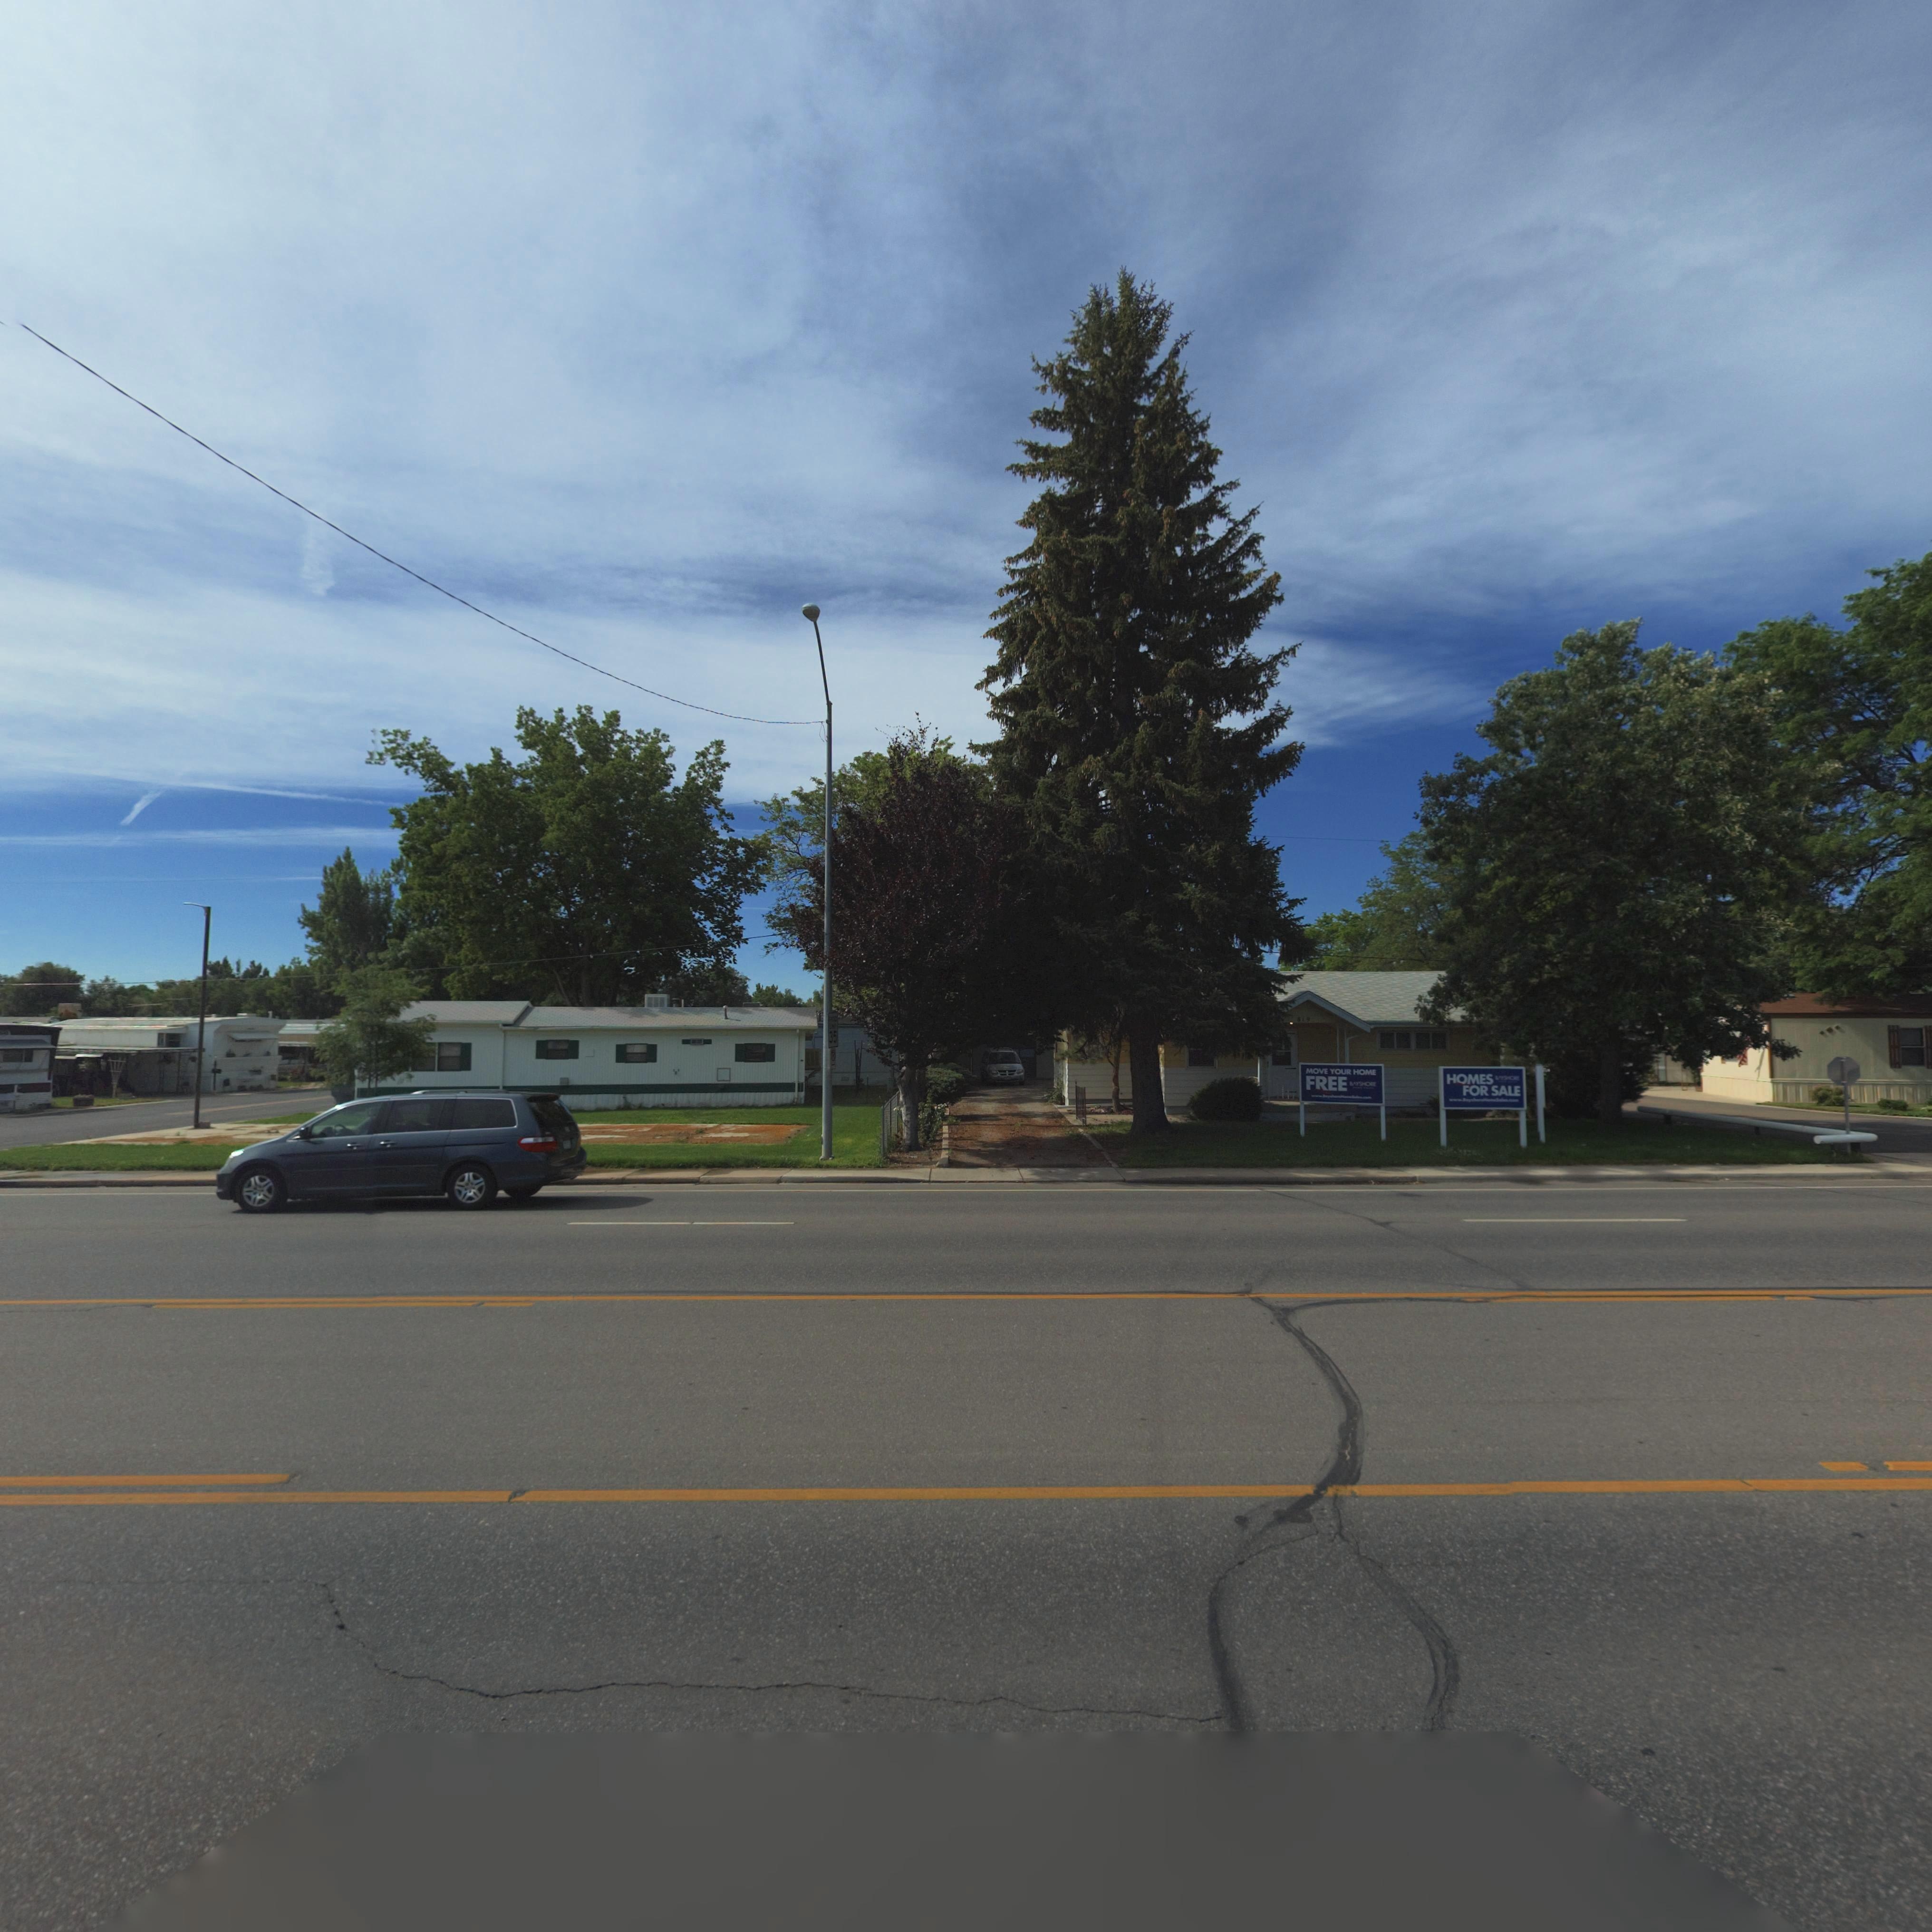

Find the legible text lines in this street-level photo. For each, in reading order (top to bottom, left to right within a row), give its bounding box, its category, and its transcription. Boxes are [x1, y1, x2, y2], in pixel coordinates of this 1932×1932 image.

[1296, 1016, 1310, 1022] StreetNumber: *19